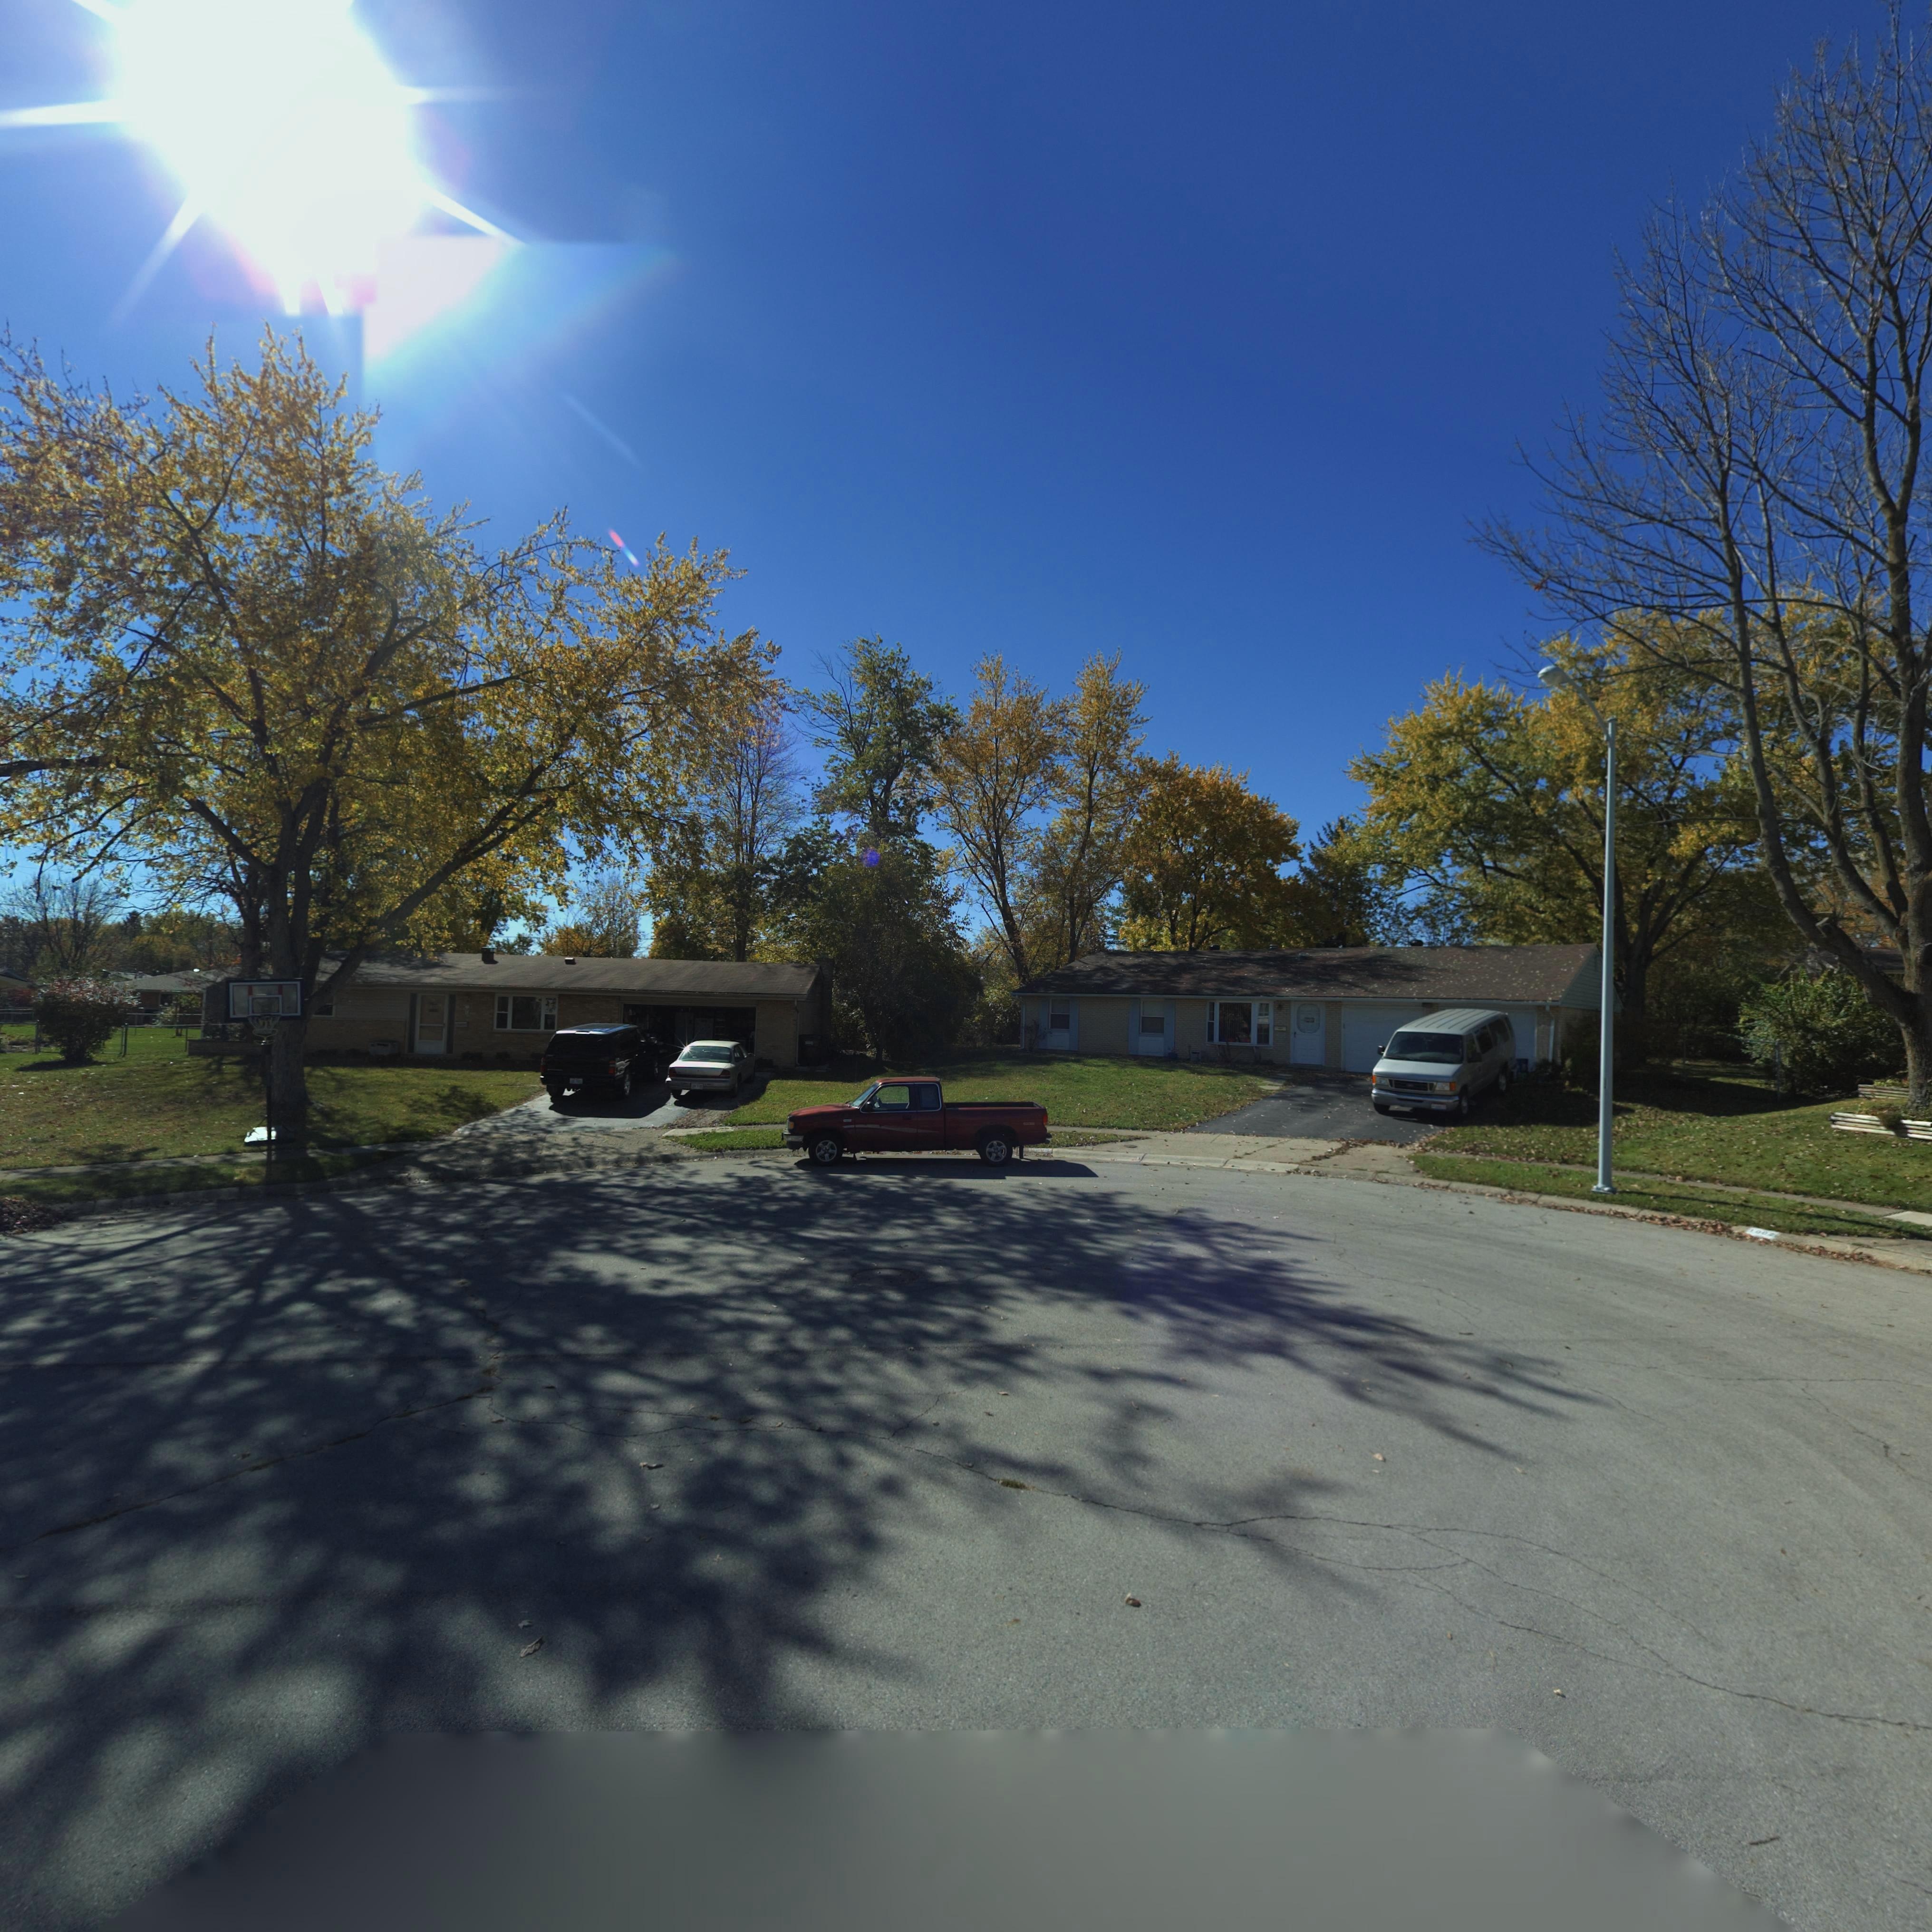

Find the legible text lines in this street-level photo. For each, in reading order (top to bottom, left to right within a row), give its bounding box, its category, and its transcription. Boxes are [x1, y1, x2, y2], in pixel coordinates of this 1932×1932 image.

[1747, 1228, 1776, 1237] StreetNumber: 100*